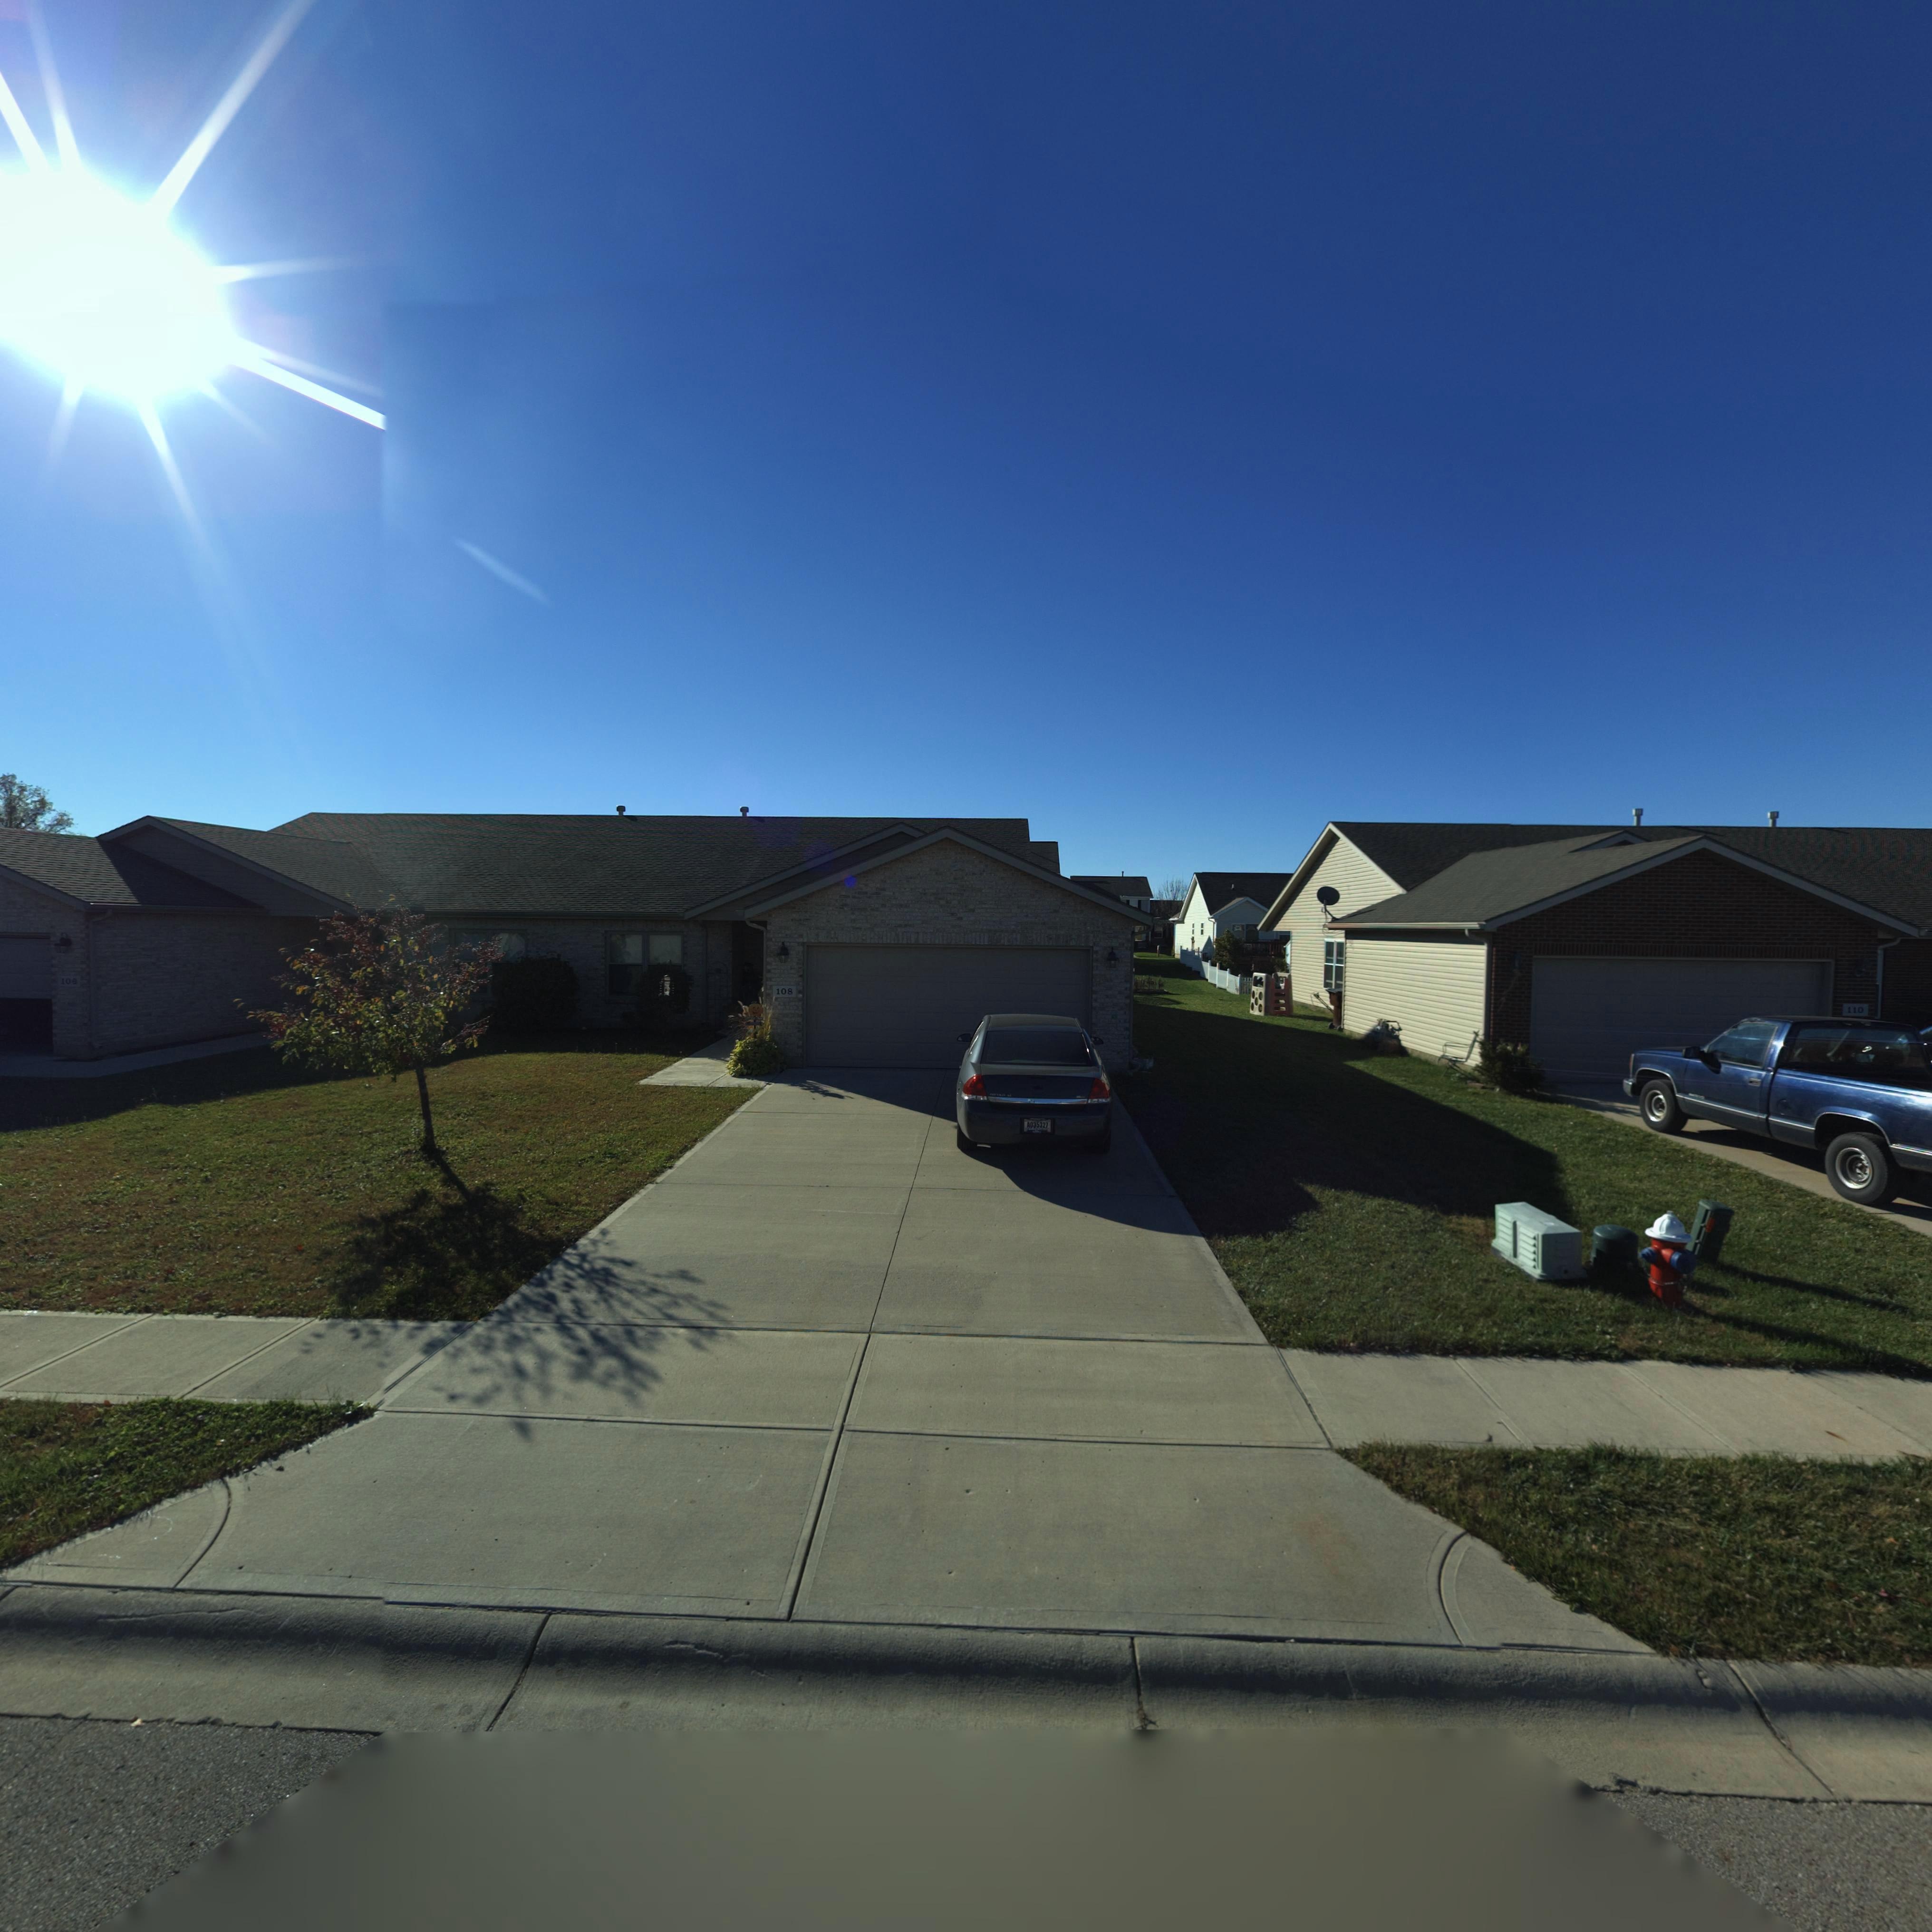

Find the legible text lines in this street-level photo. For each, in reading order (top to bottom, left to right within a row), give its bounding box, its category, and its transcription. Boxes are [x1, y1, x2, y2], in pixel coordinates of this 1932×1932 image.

[60, 977, 77, 985] StreetNumber: 10*
[775, 987, 793, 995] StreetNumber: 108
[1847, 1006, 1864, 1014] StreetNumber: 110